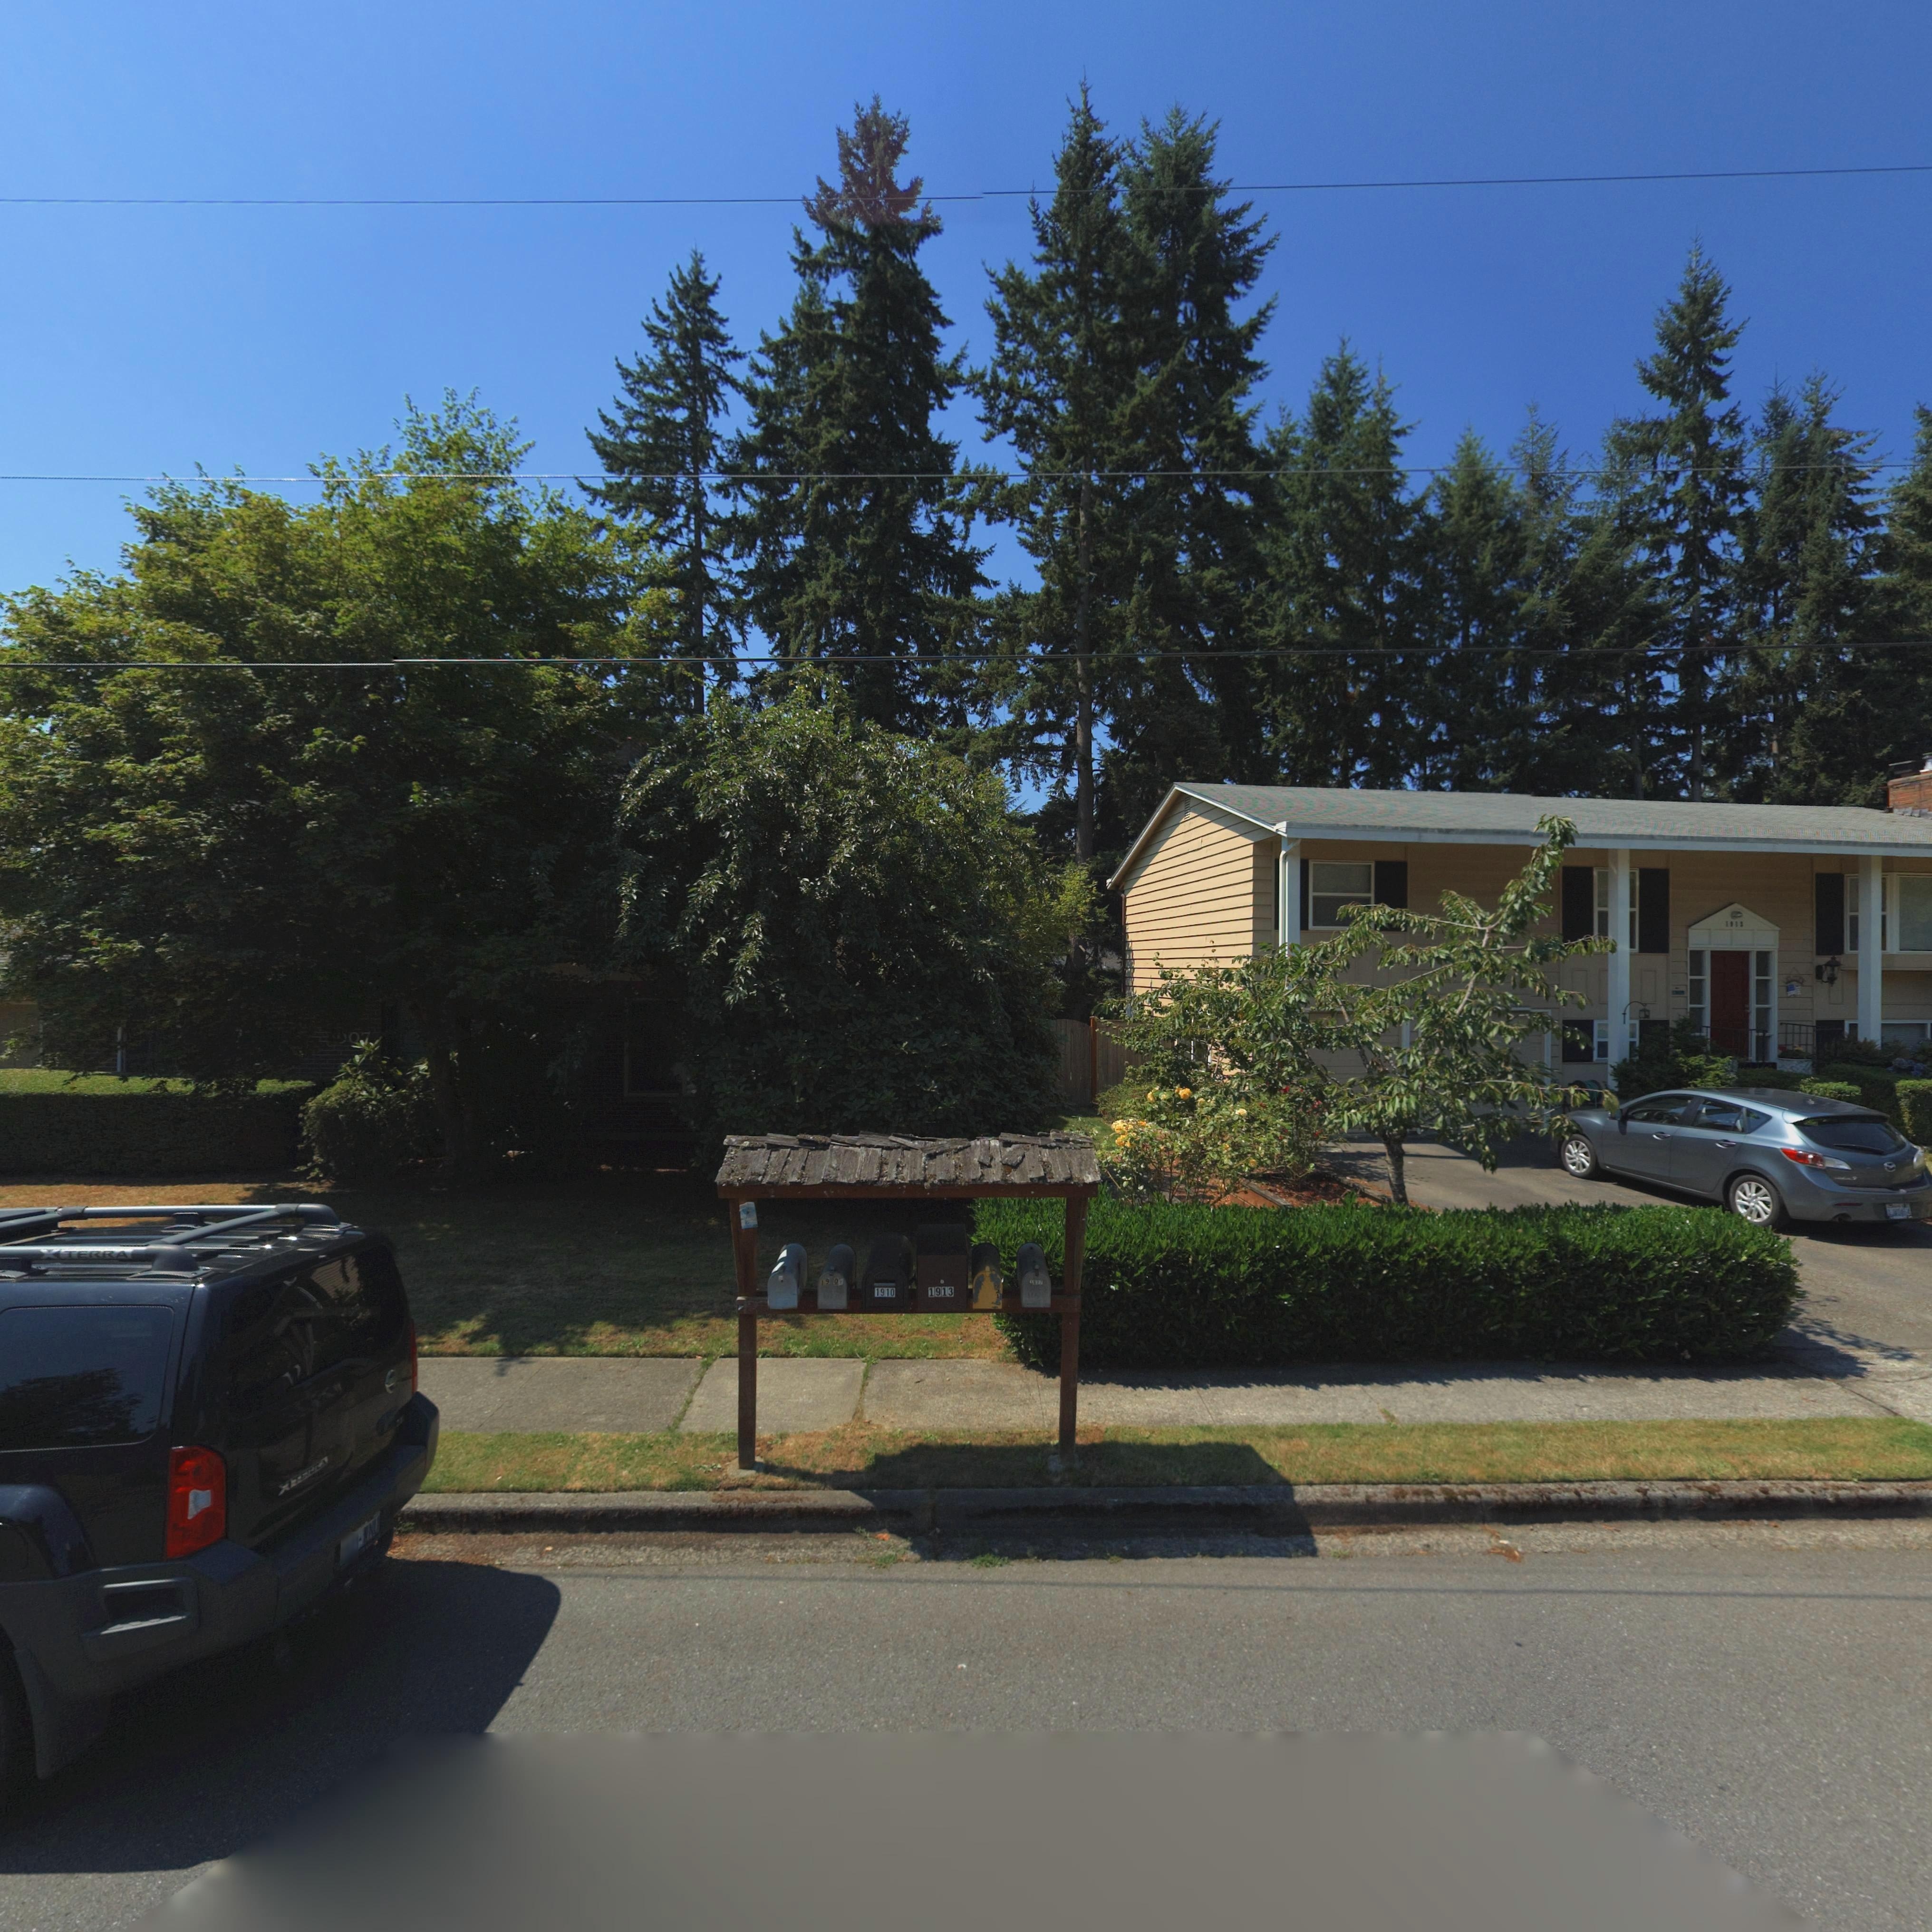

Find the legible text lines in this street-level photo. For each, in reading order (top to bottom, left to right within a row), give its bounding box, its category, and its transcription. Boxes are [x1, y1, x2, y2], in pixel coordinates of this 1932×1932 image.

[821, 1278, 839, 1285] StreetNumber: 19 0
[875, 1287, 894, 1296] StreetNumber: 1910
[929, 1286, 953, 1296] StreetNumber: 1913